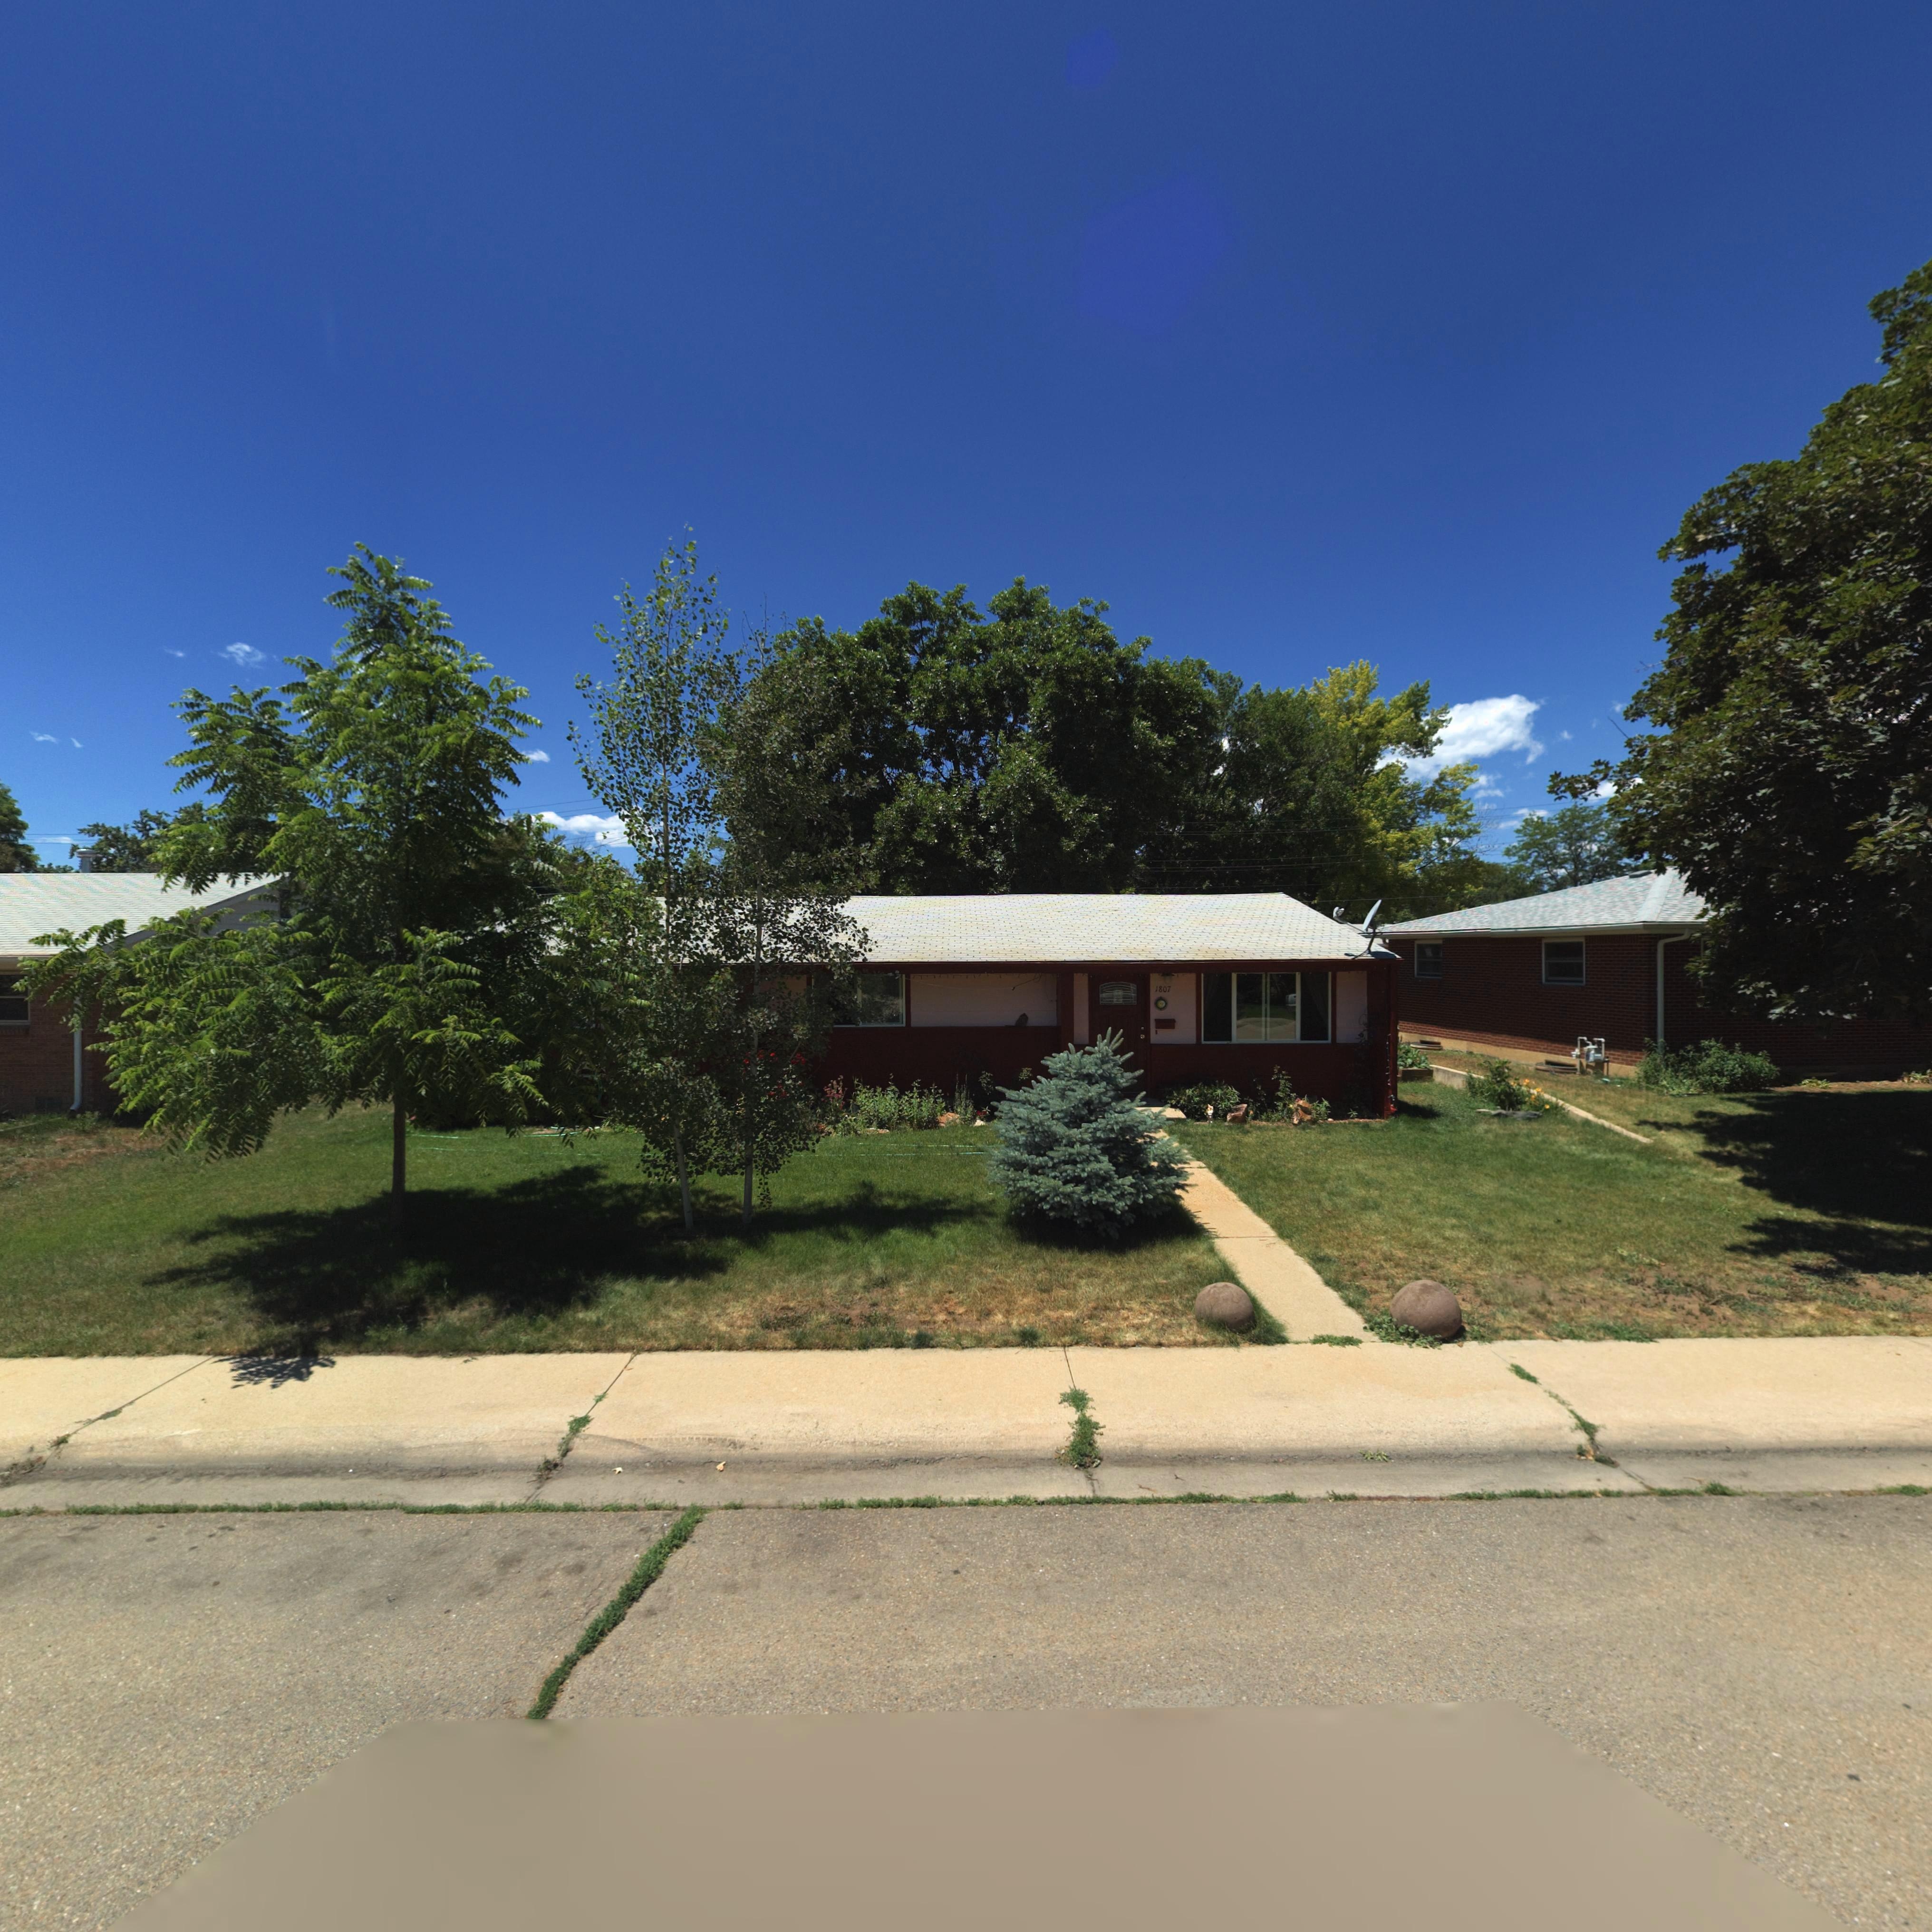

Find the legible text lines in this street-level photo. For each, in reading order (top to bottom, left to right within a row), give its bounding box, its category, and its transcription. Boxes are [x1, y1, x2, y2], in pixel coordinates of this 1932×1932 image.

[1155, 985, 1171, 993] StreetNumber: 1807